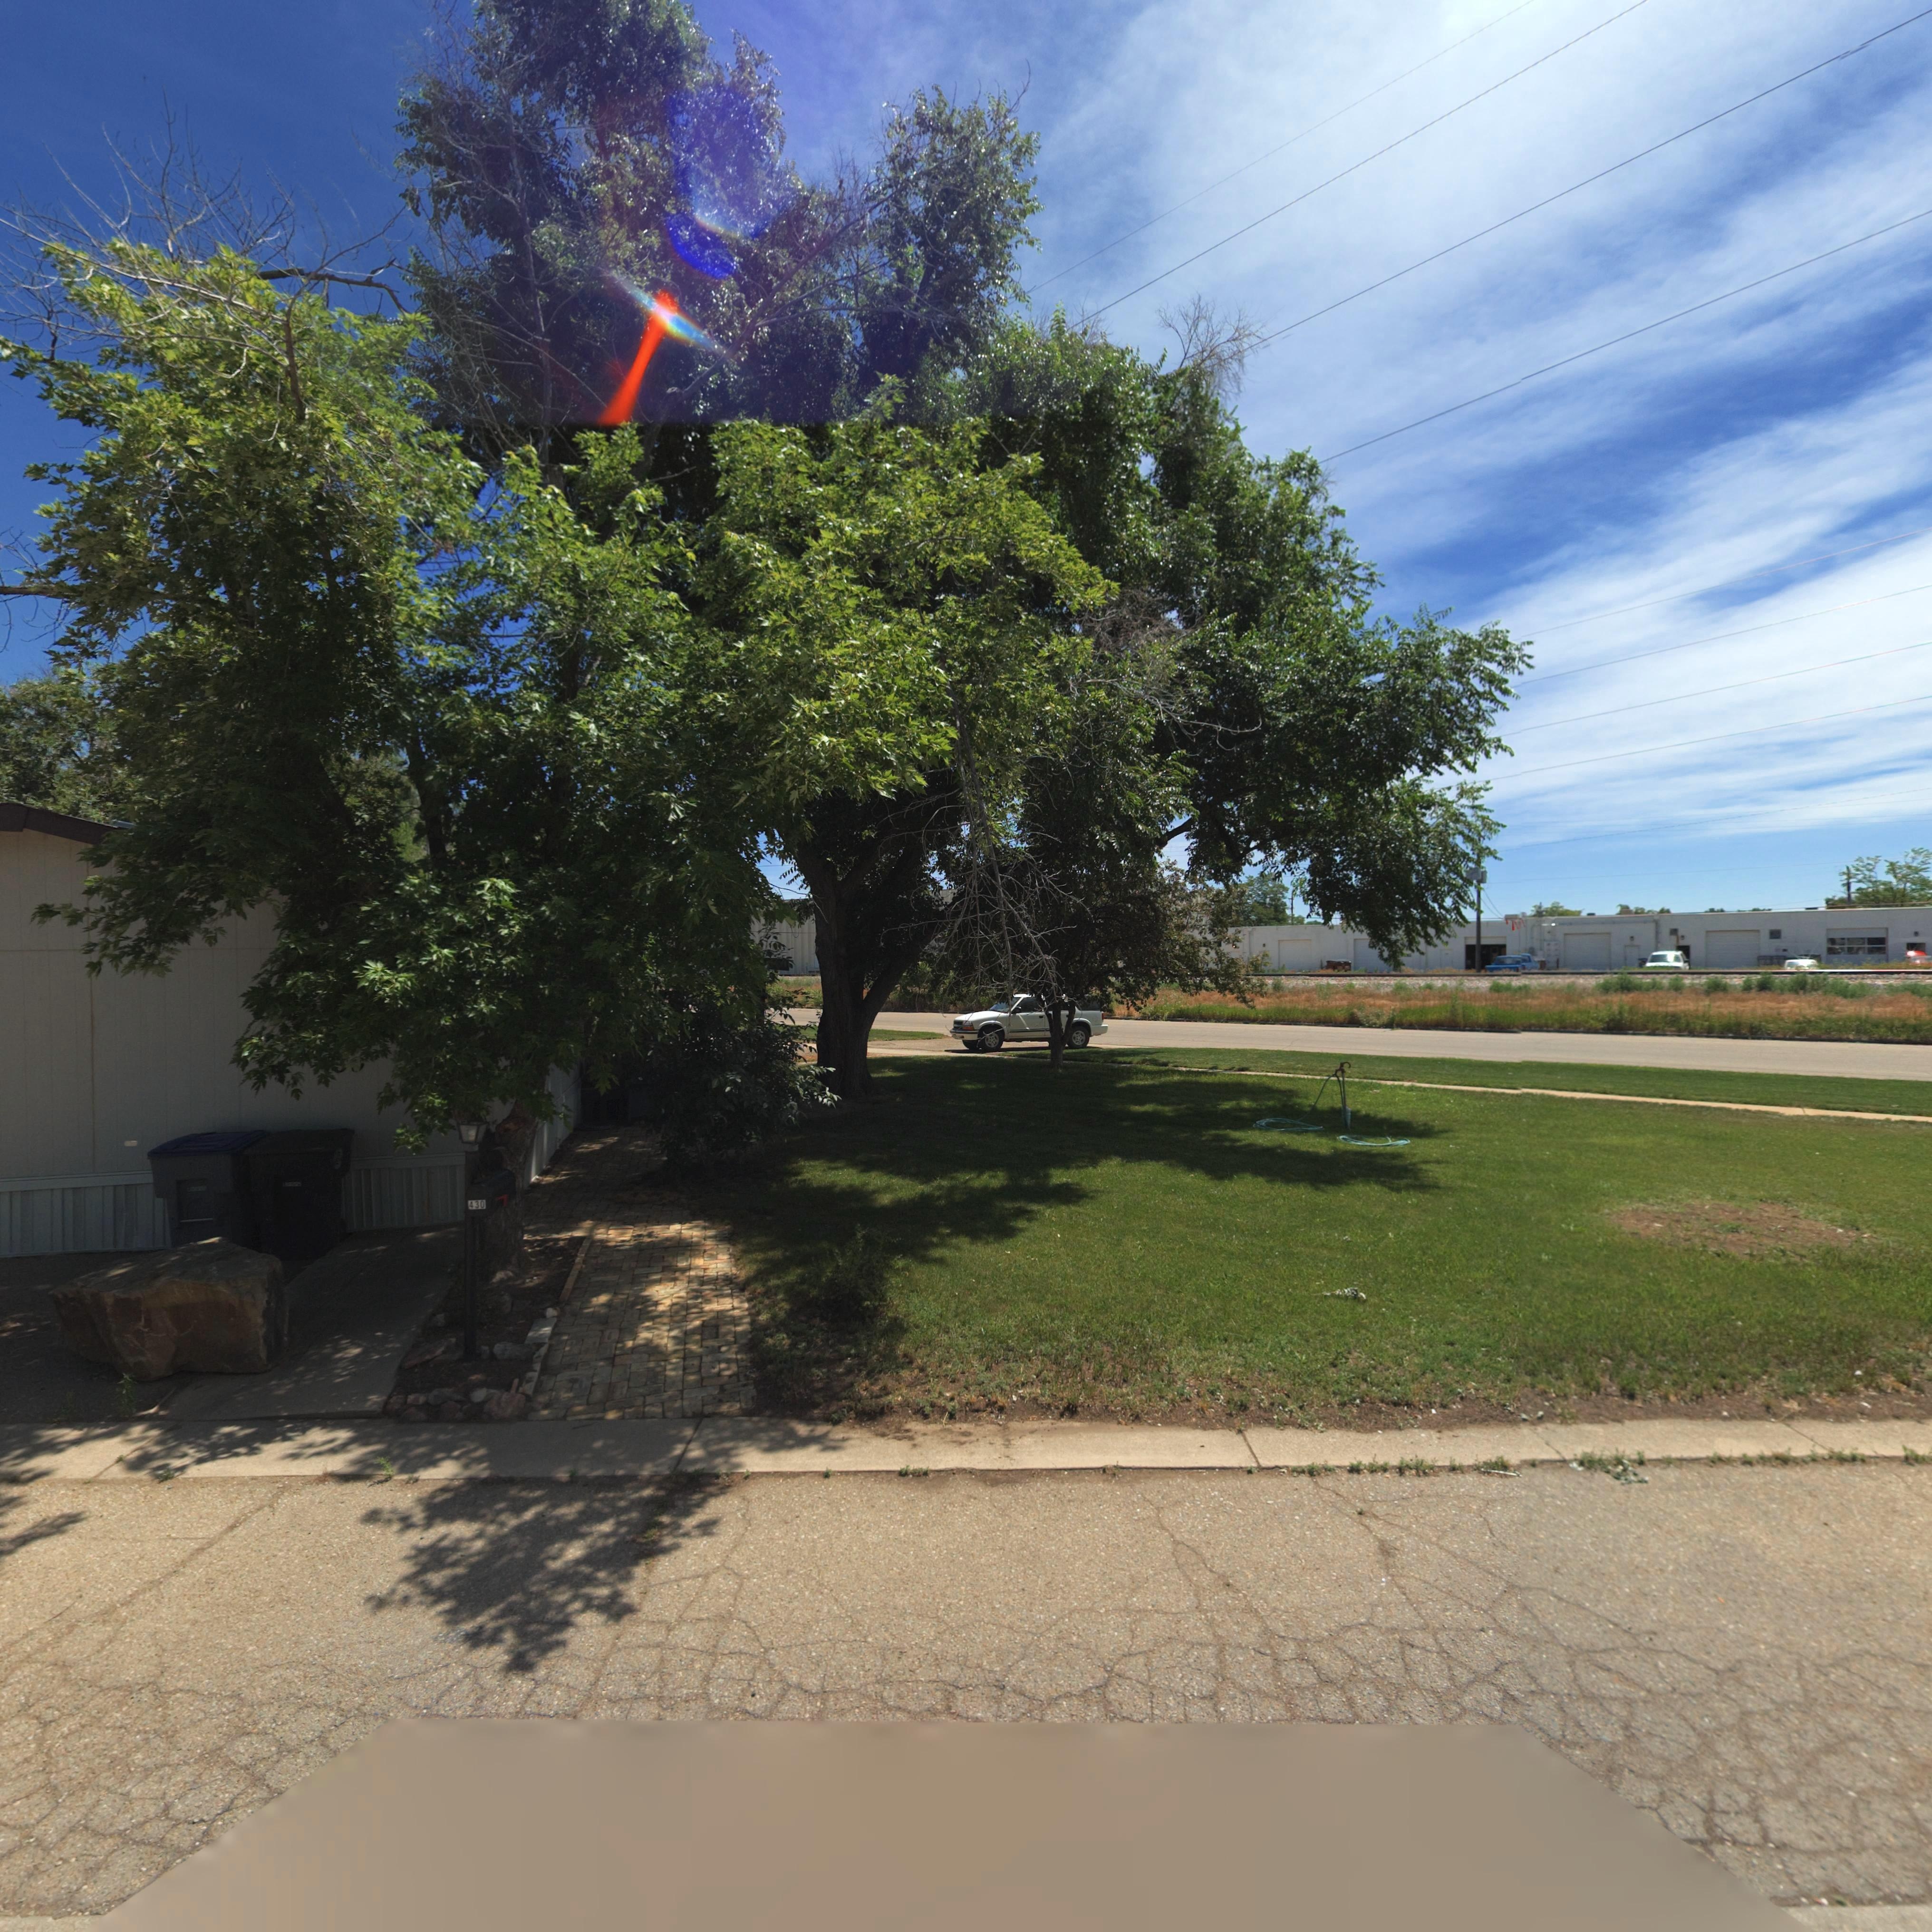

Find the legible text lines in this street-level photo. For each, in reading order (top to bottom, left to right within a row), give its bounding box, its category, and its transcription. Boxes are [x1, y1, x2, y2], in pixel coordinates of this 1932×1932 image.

[469, 1200, 485, 1209] StreetNumber: 430